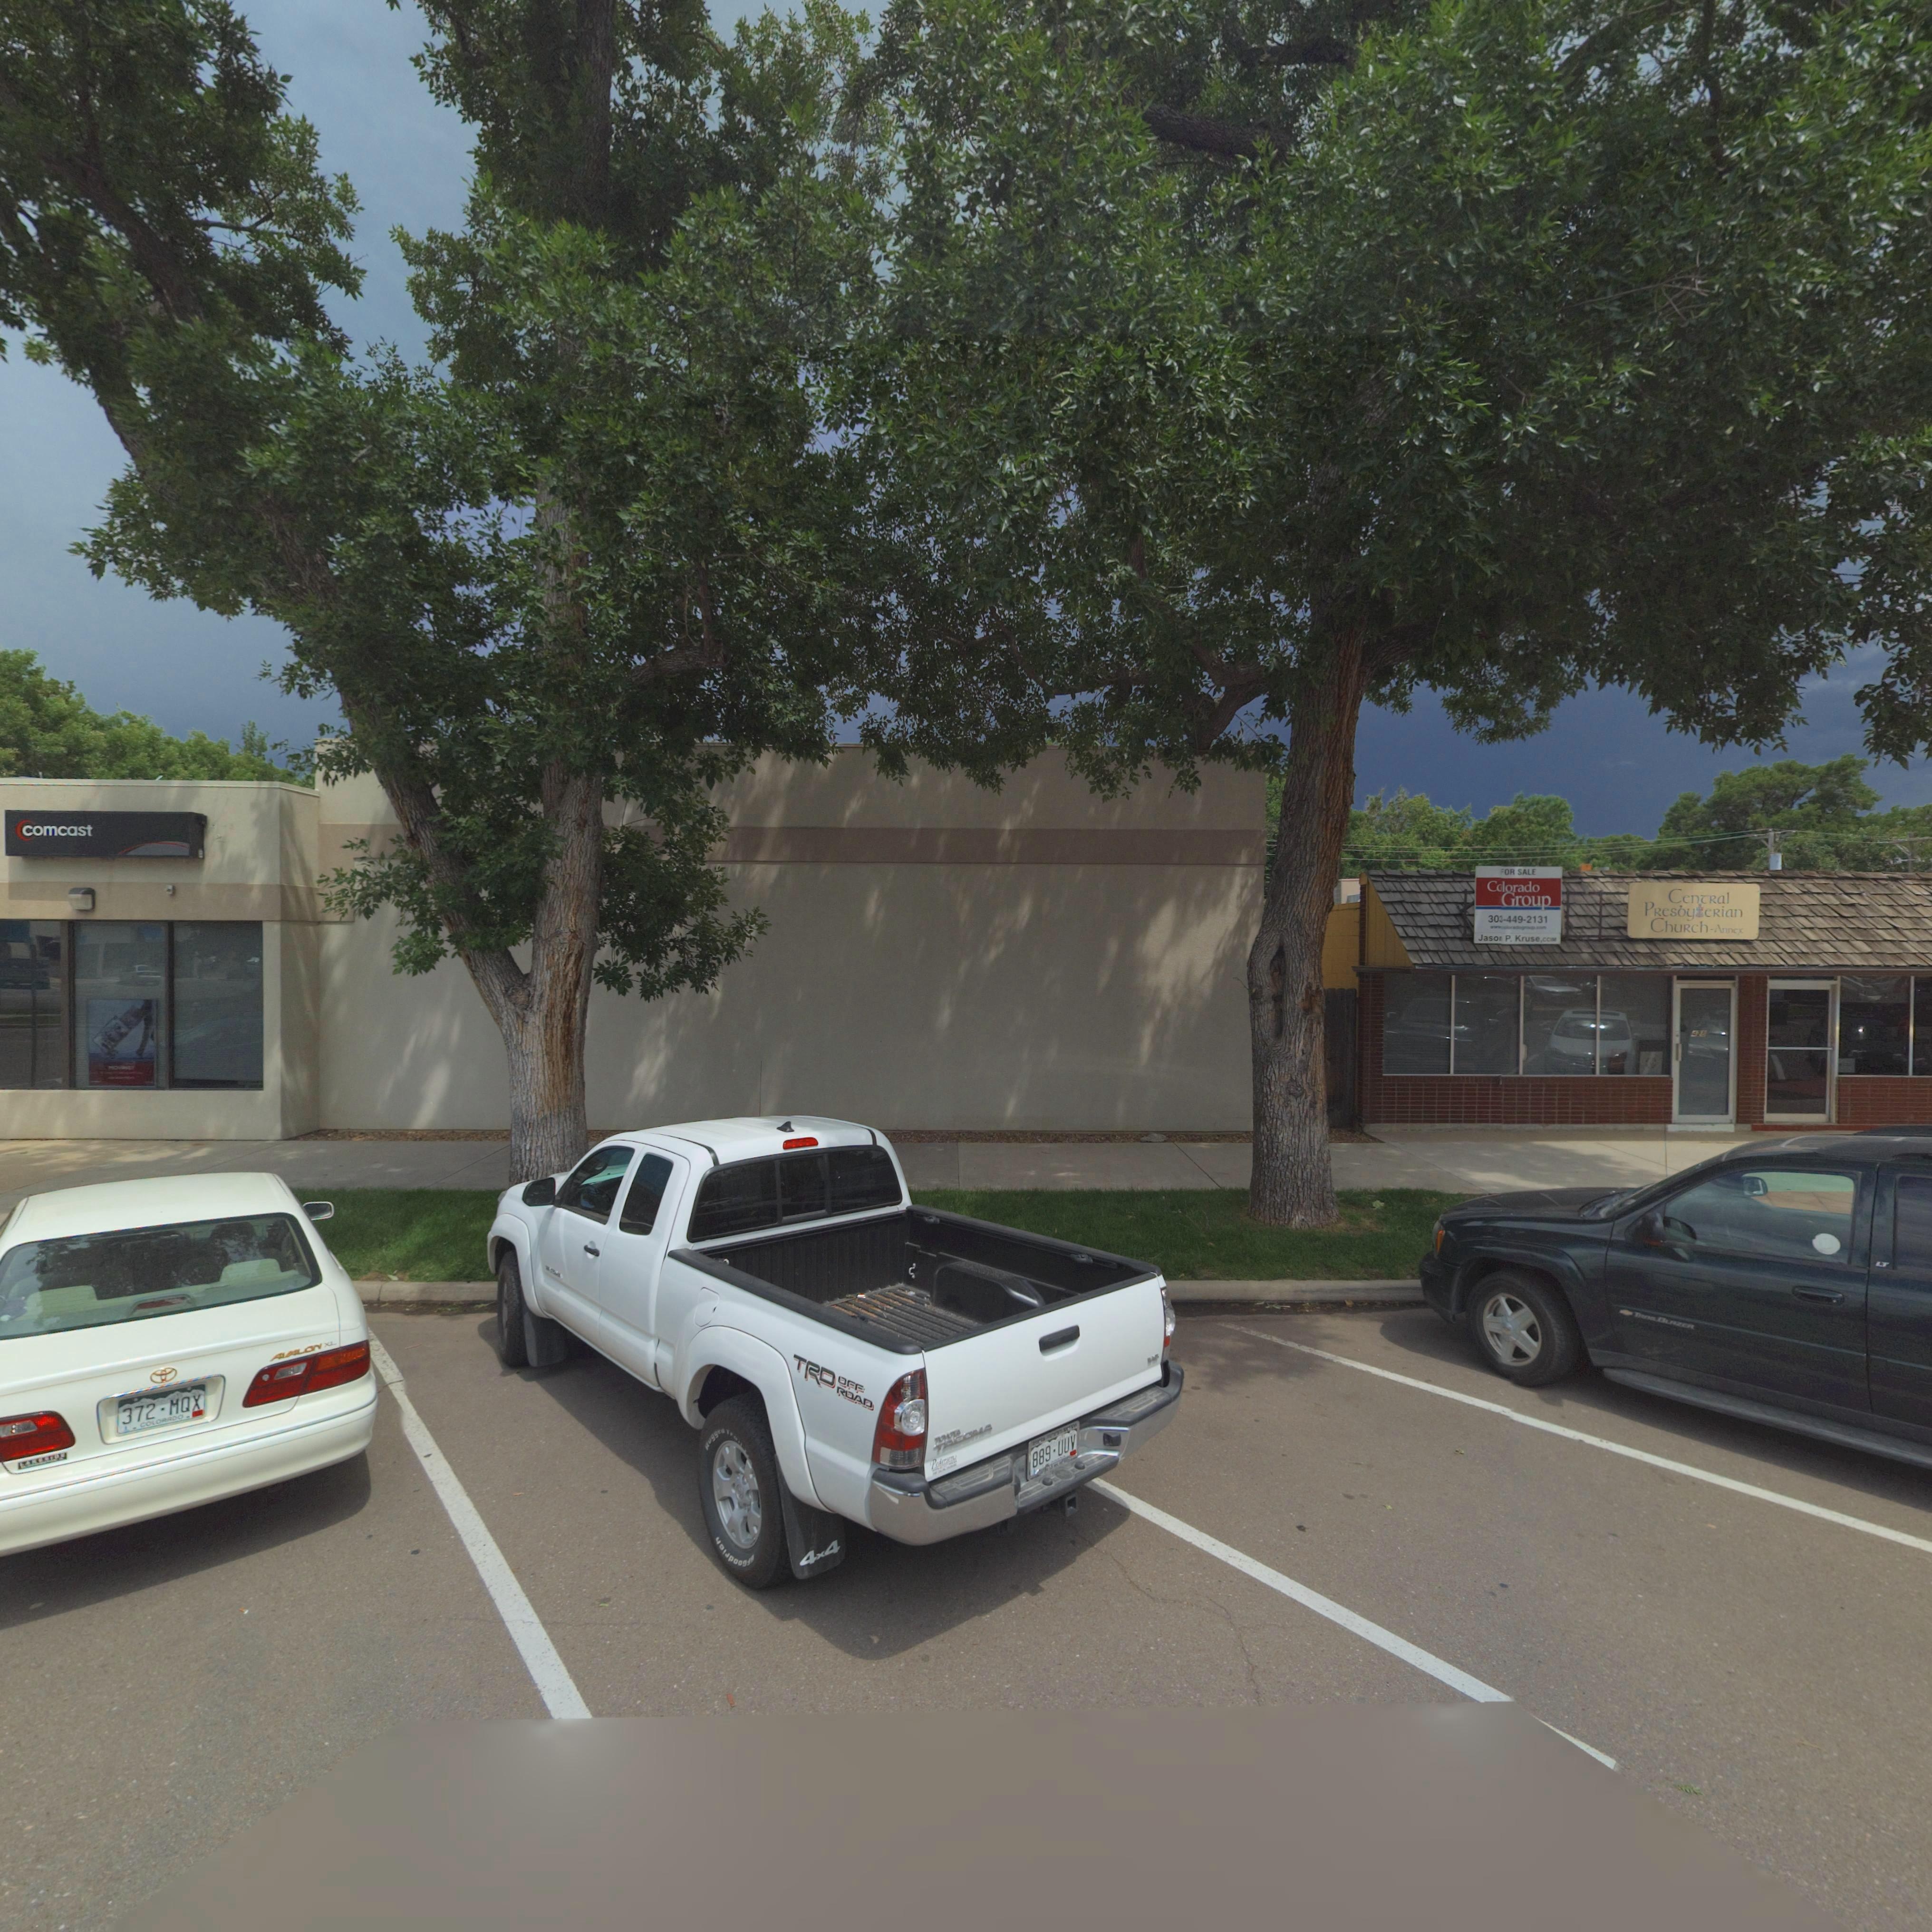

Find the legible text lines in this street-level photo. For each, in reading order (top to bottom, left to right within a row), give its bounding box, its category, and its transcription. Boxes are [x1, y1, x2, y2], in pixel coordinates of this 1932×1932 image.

[21, 823, 93, 836] BusinessName: comcast
[1667, 888, 1729, 905] BusinessName: CenTRal
[1643, 900, 1743, 922] BusinessName: PResby*eRian
[1649, 917, 1744, 934] BusinessName: ChuRch-Annex
[1690, 1030, 1706, 1037] StreetNumber: 4*6